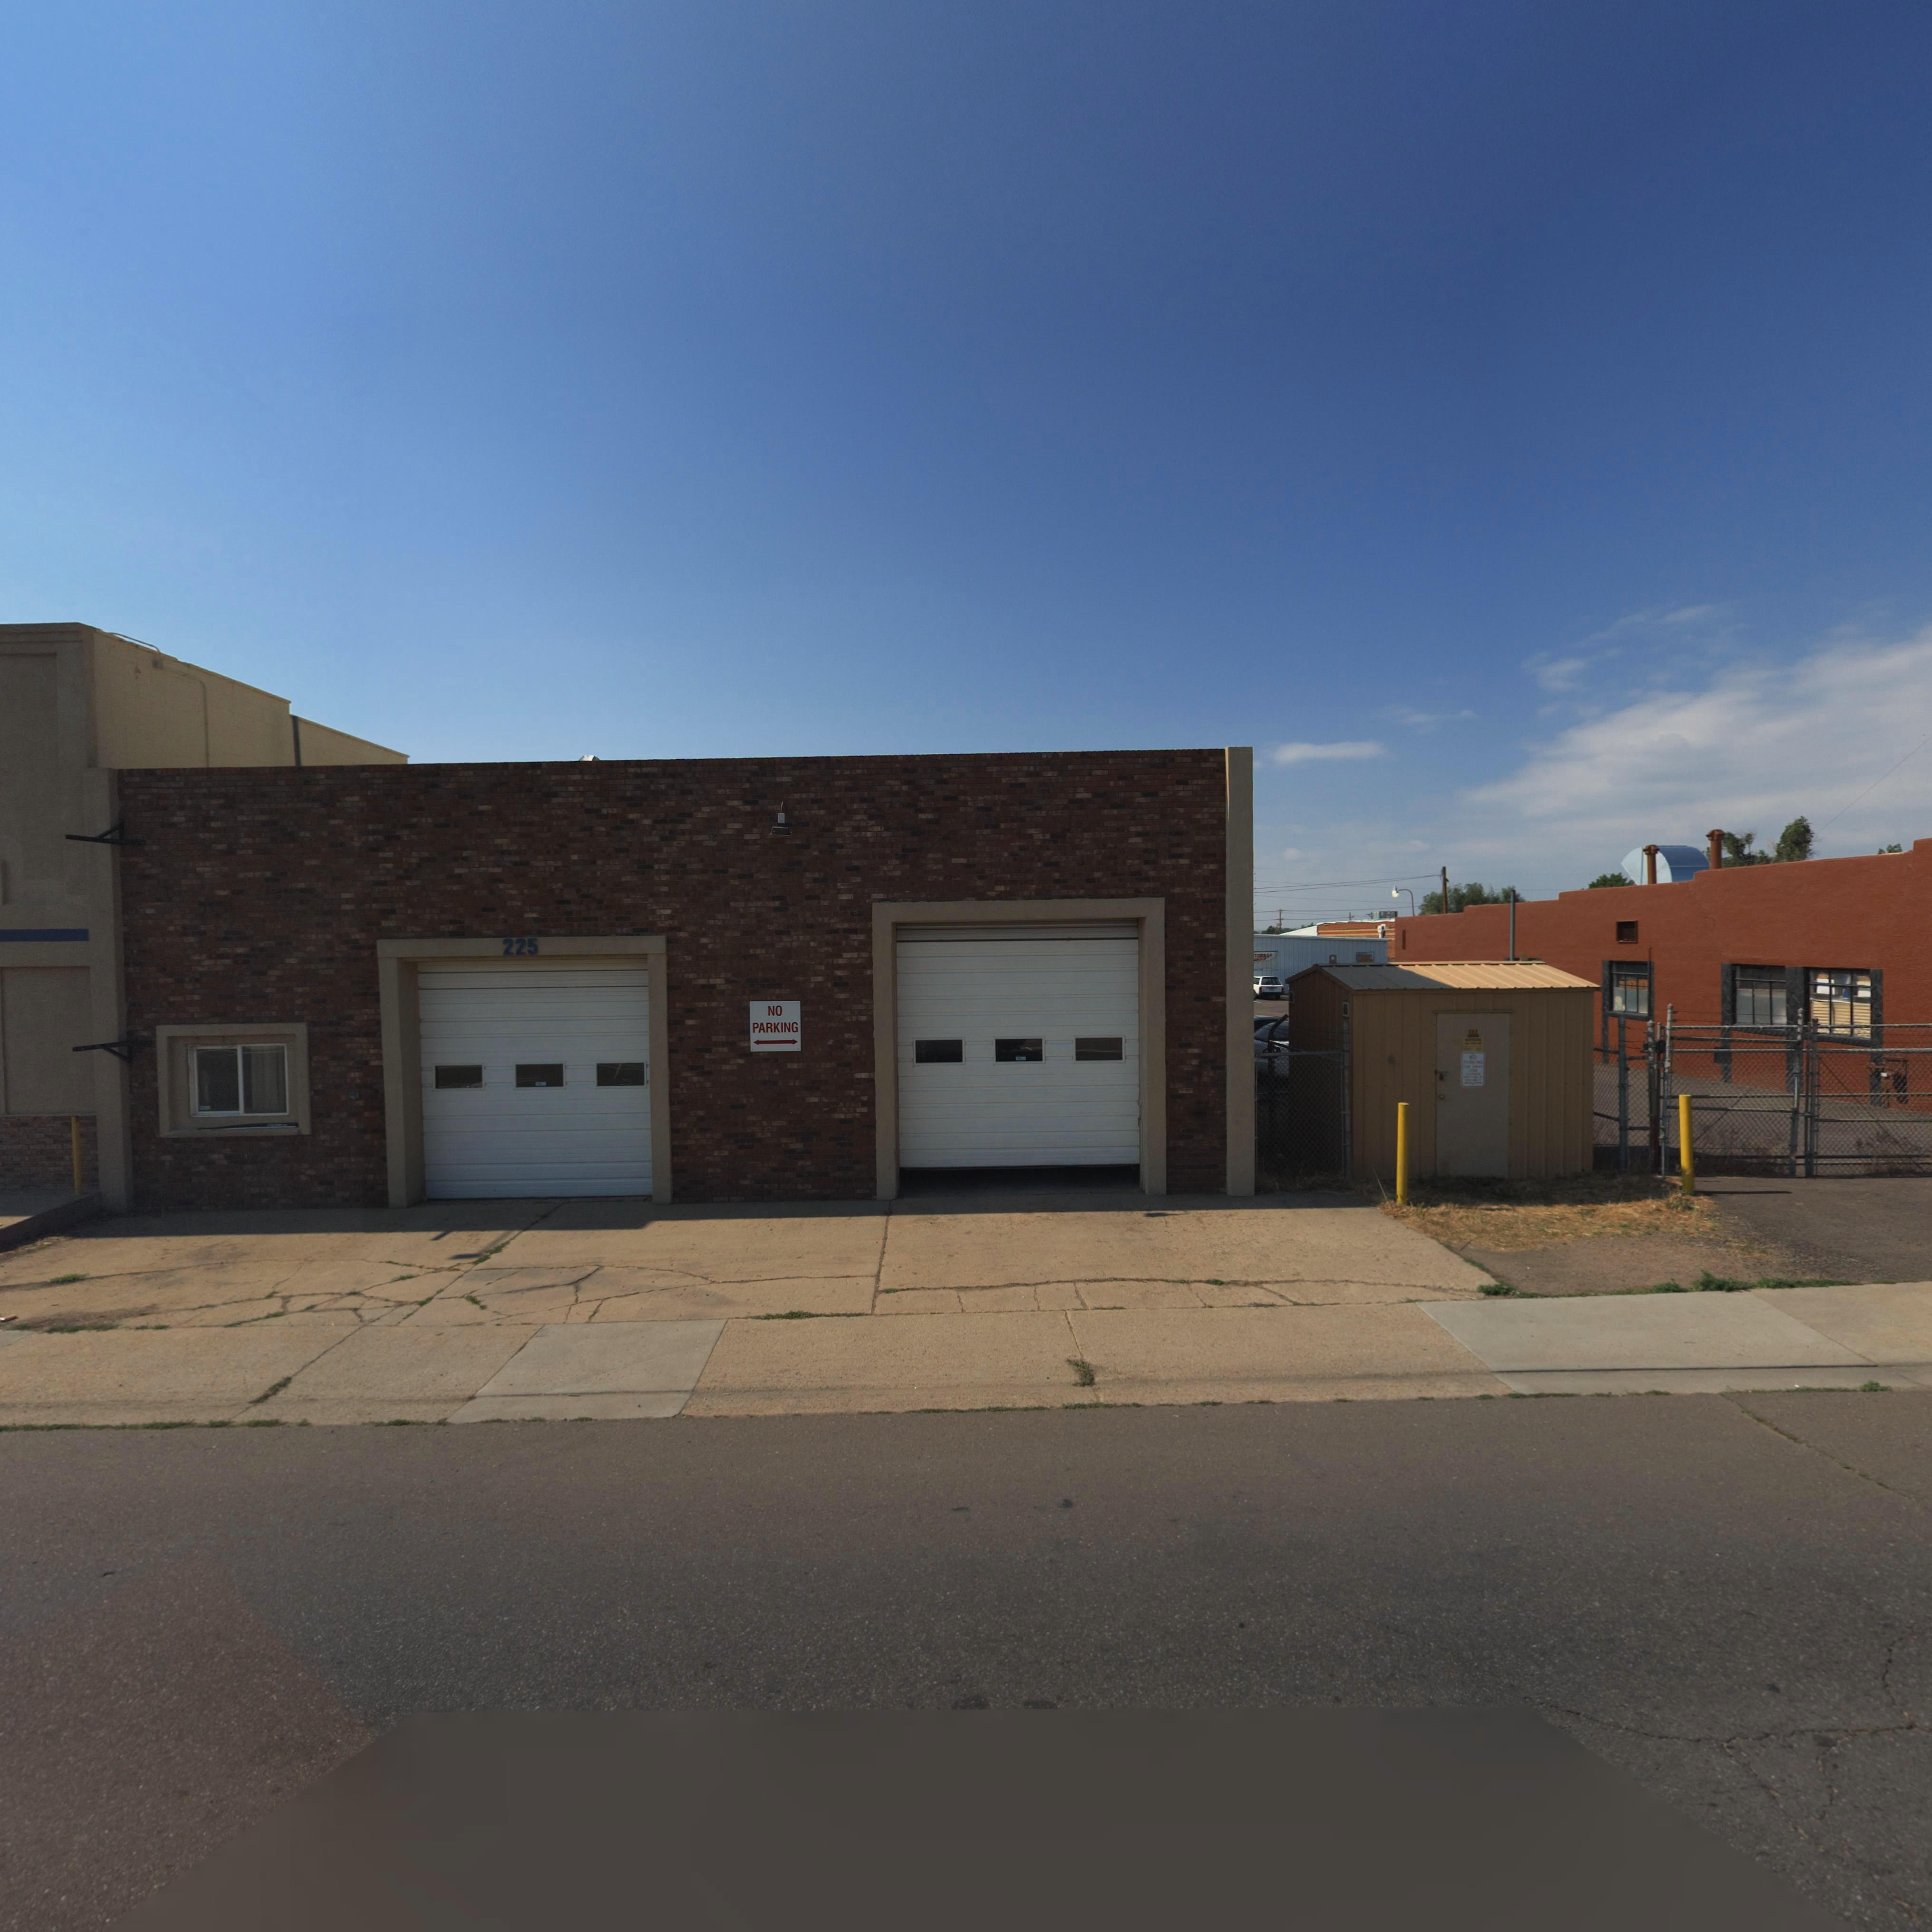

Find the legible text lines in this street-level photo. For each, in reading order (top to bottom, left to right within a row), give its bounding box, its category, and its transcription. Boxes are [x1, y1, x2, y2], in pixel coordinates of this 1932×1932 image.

[502, 937, 540, 956] StreetNumber: 225
[1253, 953, 1273, 958] BusinessName: T0**G*